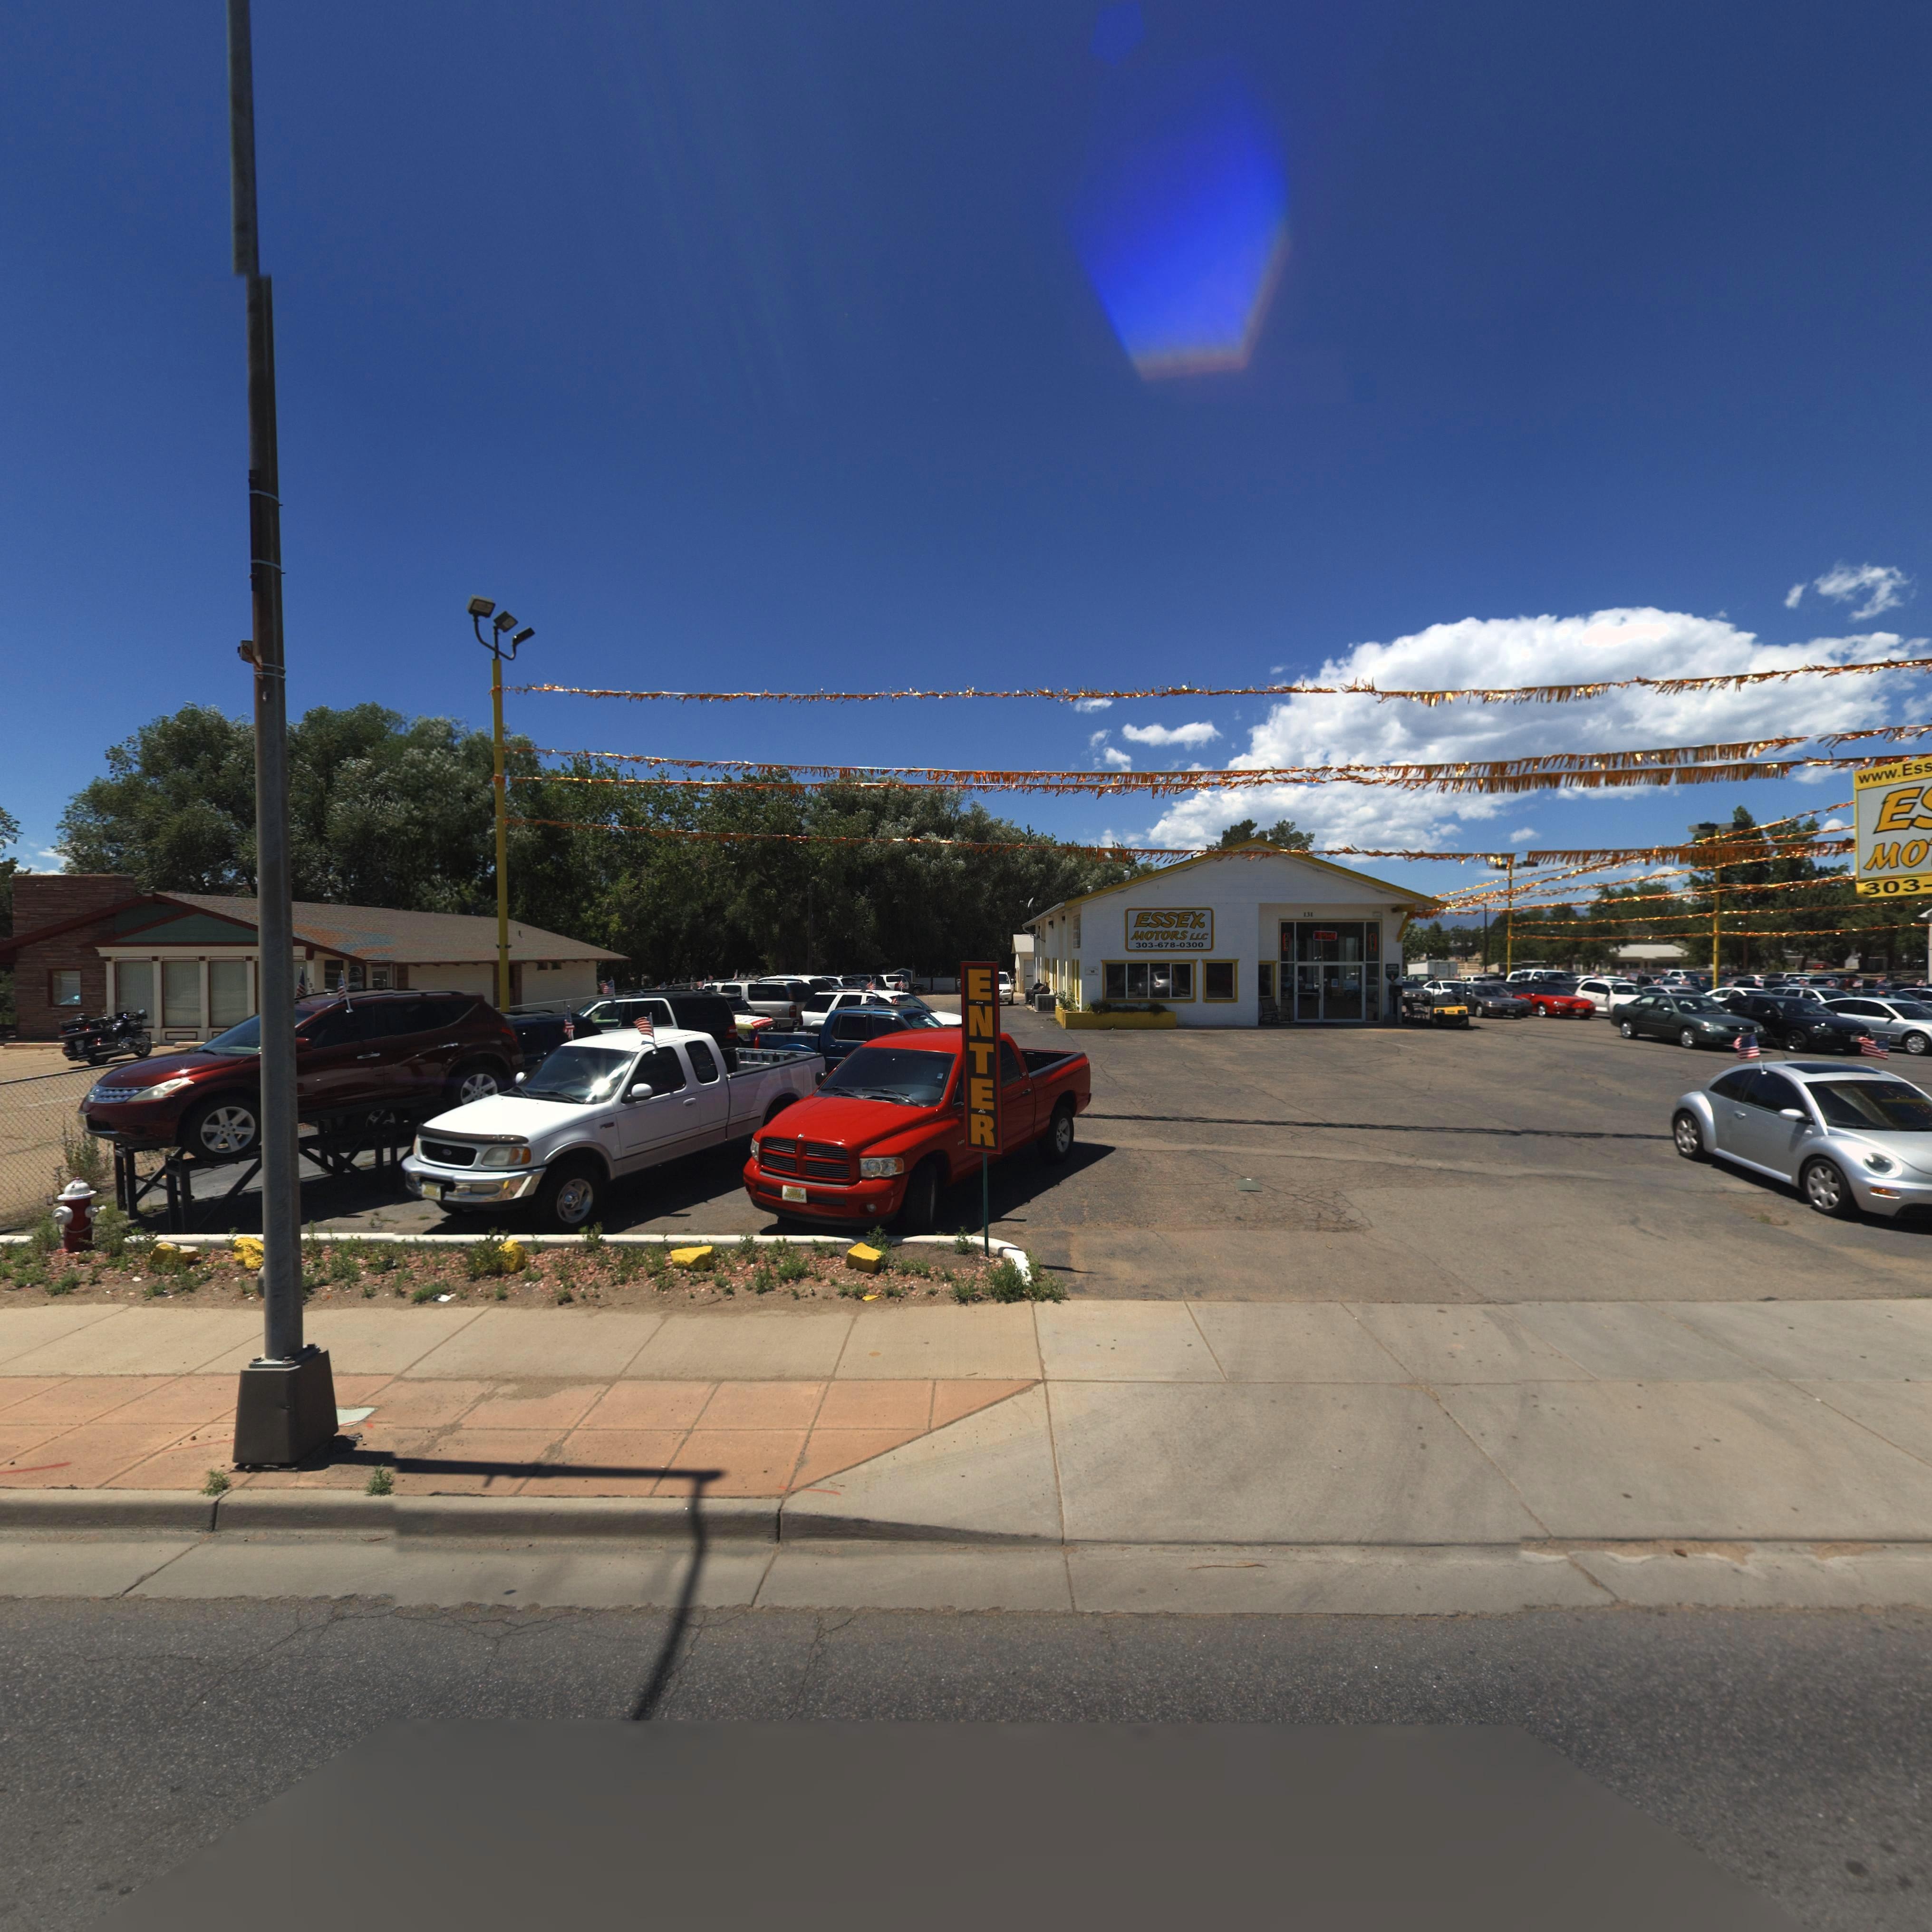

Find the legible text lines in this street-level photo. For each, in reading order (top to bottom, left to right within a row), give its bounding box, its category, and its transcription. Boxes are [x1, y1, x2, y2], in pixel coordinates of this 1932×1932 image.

[1872, 784, 1926, 834] BusinessName: E
[1861, 837, 1930, 872] BusinessName: MO
[1132, 911, 1206, 930] BusinessName: ESSEX
[1303, 911, 1313, 918] StreetNumber: 131
[1129, 930, 1209, 941] BusinessName: MOTORS LLC
[306, 977, 315, 993] StreetNumber: 133